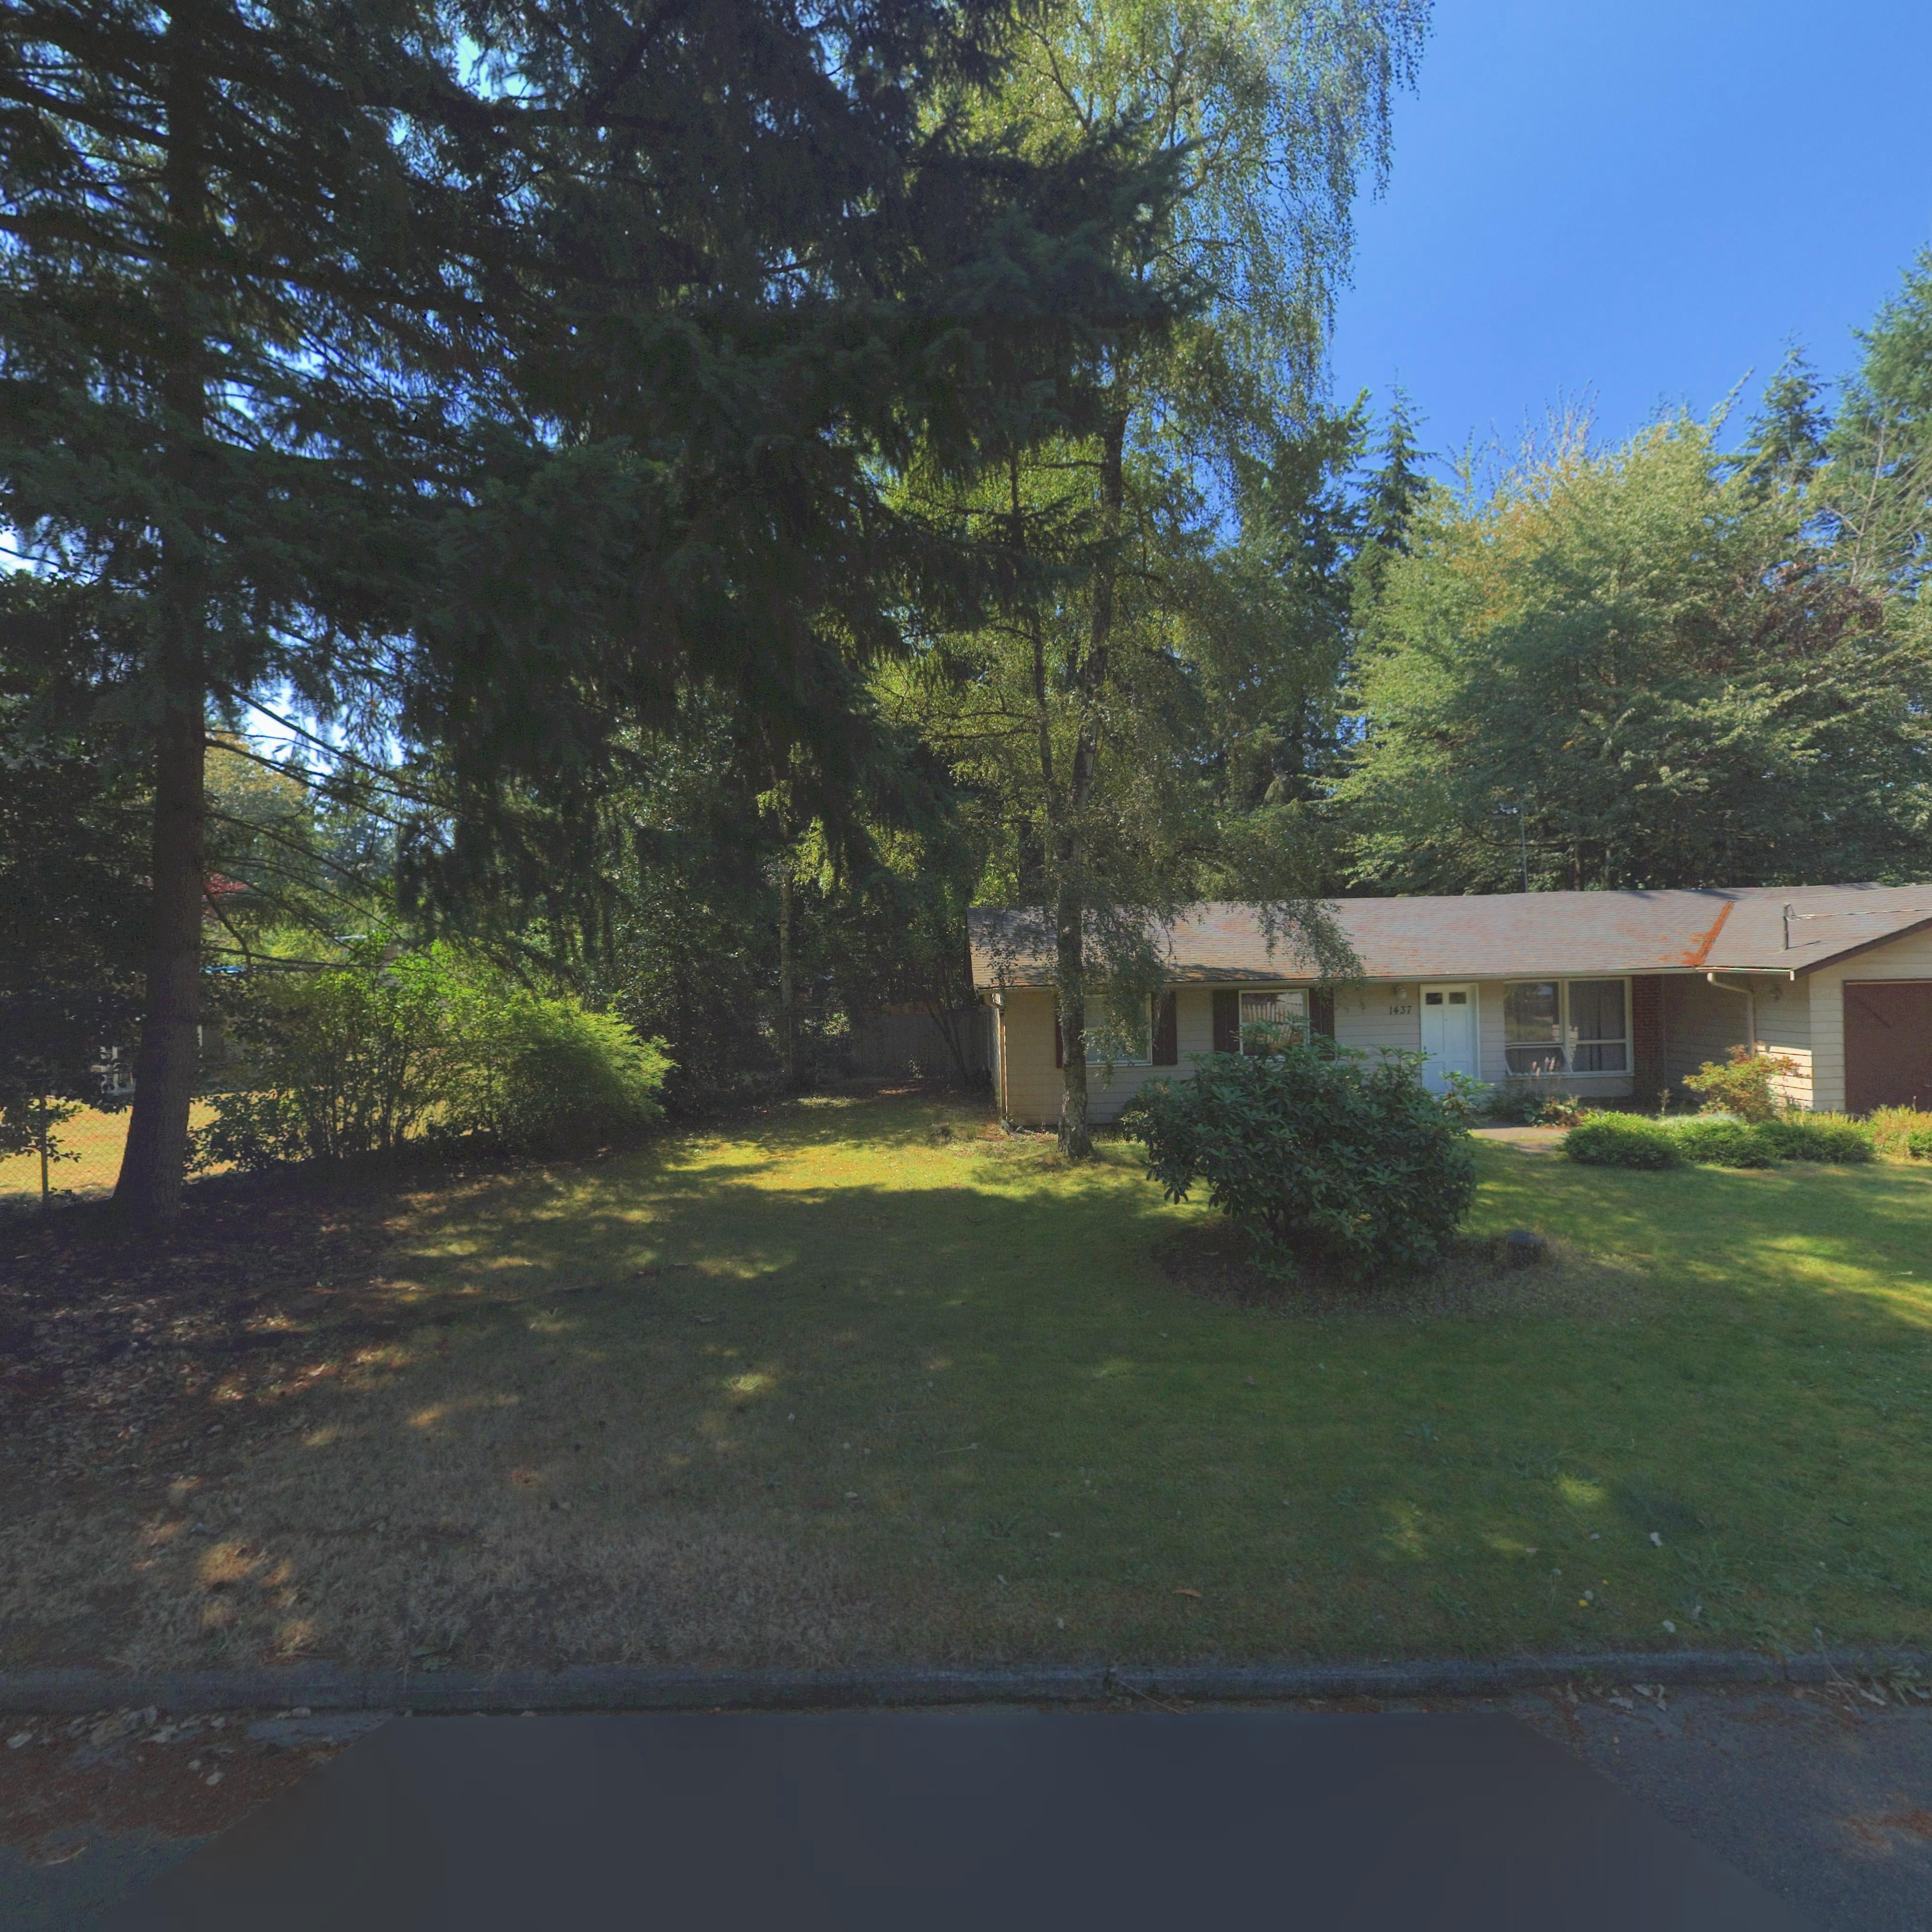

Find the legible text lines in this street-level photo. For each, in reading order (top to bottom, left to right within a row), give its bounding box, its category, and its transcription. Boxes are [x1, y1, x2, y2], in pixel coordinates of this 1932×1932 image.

[1389, 1005, 1412, 1015] StreetNumber: 1437